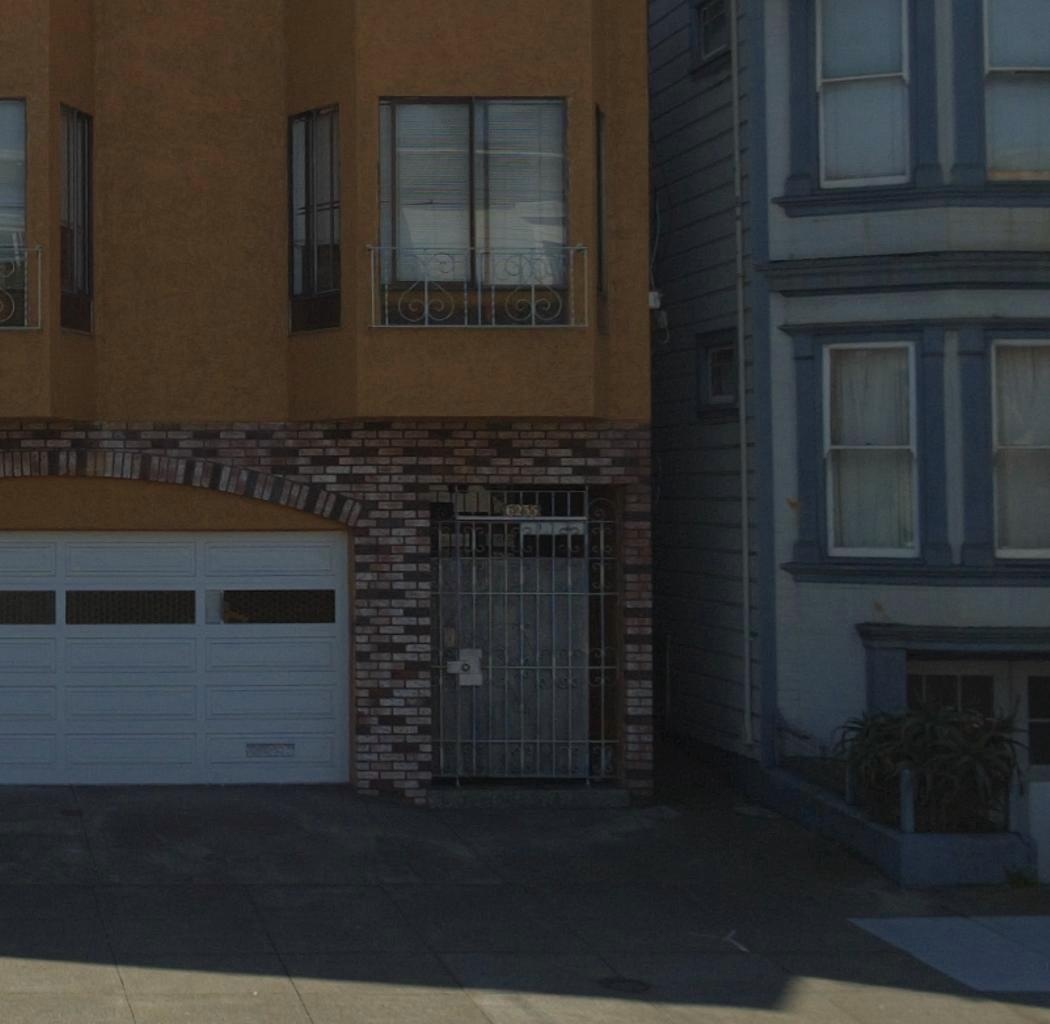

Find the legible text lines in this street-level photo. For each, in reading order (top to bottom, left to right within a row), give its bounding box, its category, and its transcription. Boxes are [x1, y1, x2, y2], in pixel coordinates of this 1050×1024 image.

[504, 503, 539, 517] StreetNumber: 6235